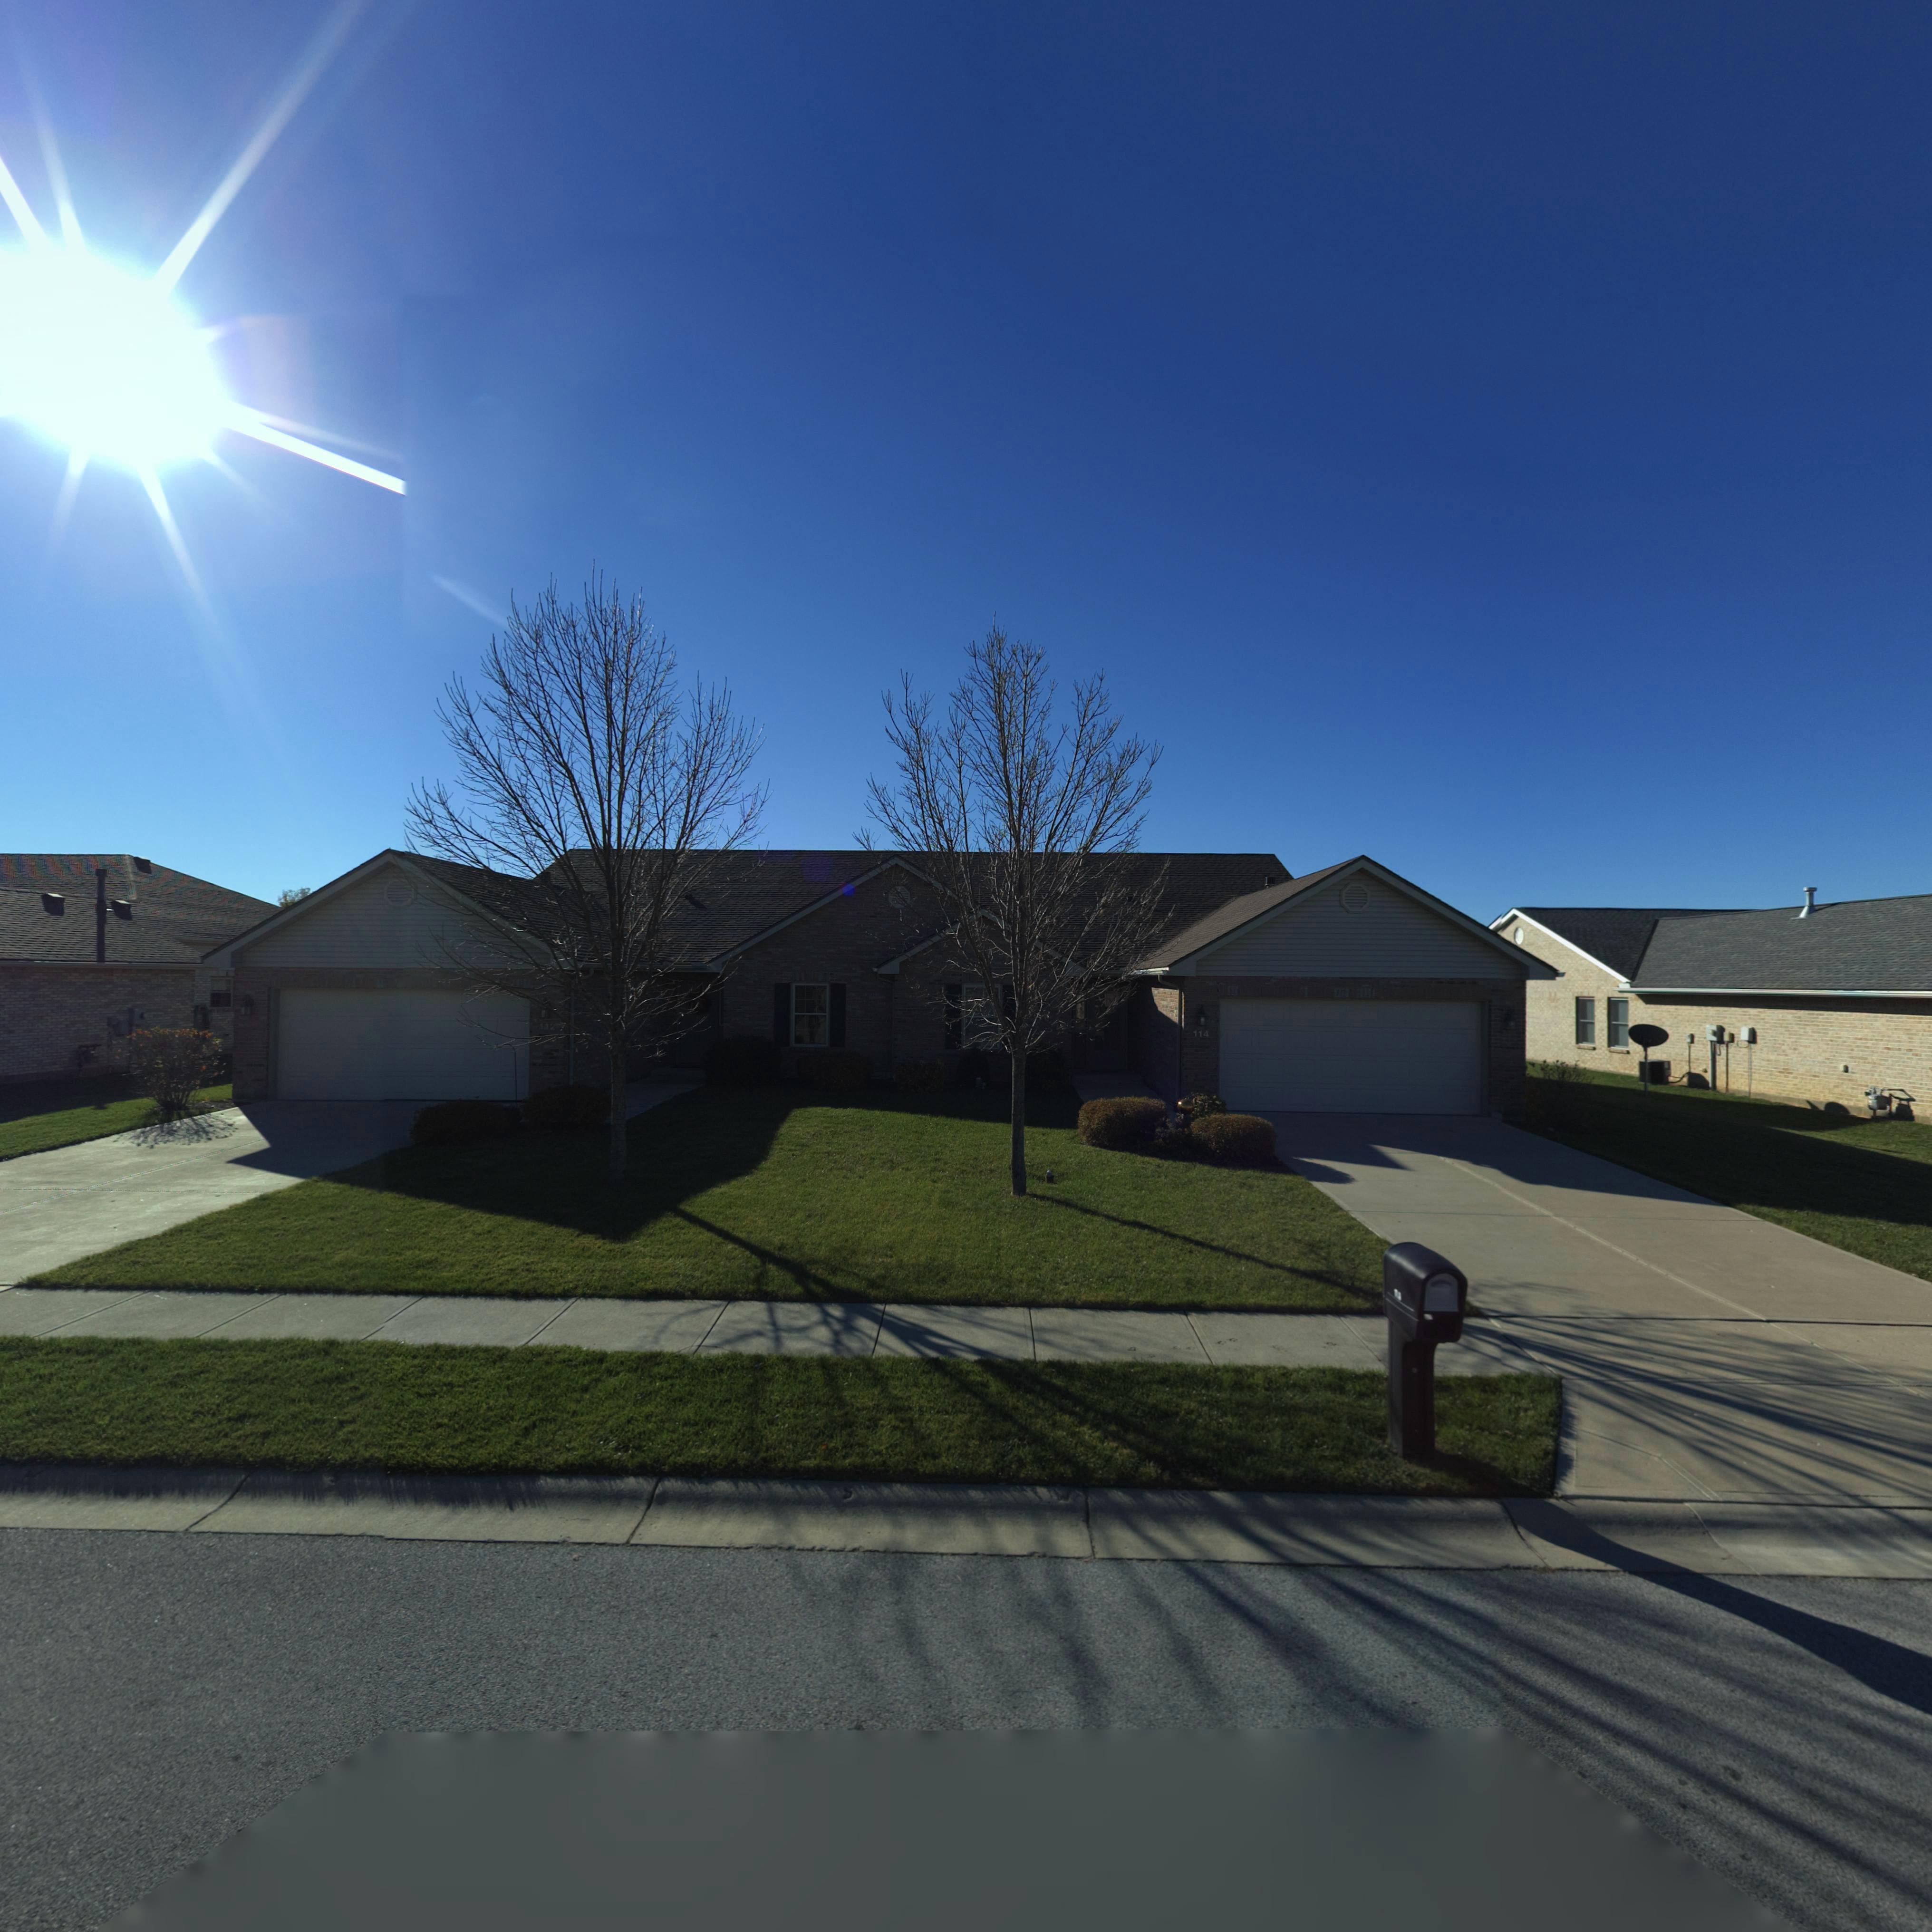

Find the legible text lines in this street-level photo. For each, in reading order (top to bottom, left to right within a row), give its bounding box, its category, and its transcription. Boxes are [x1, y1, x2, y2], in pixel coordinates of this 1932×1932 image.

[1192, 1029, 1210, 1039] StreetNumber: 114